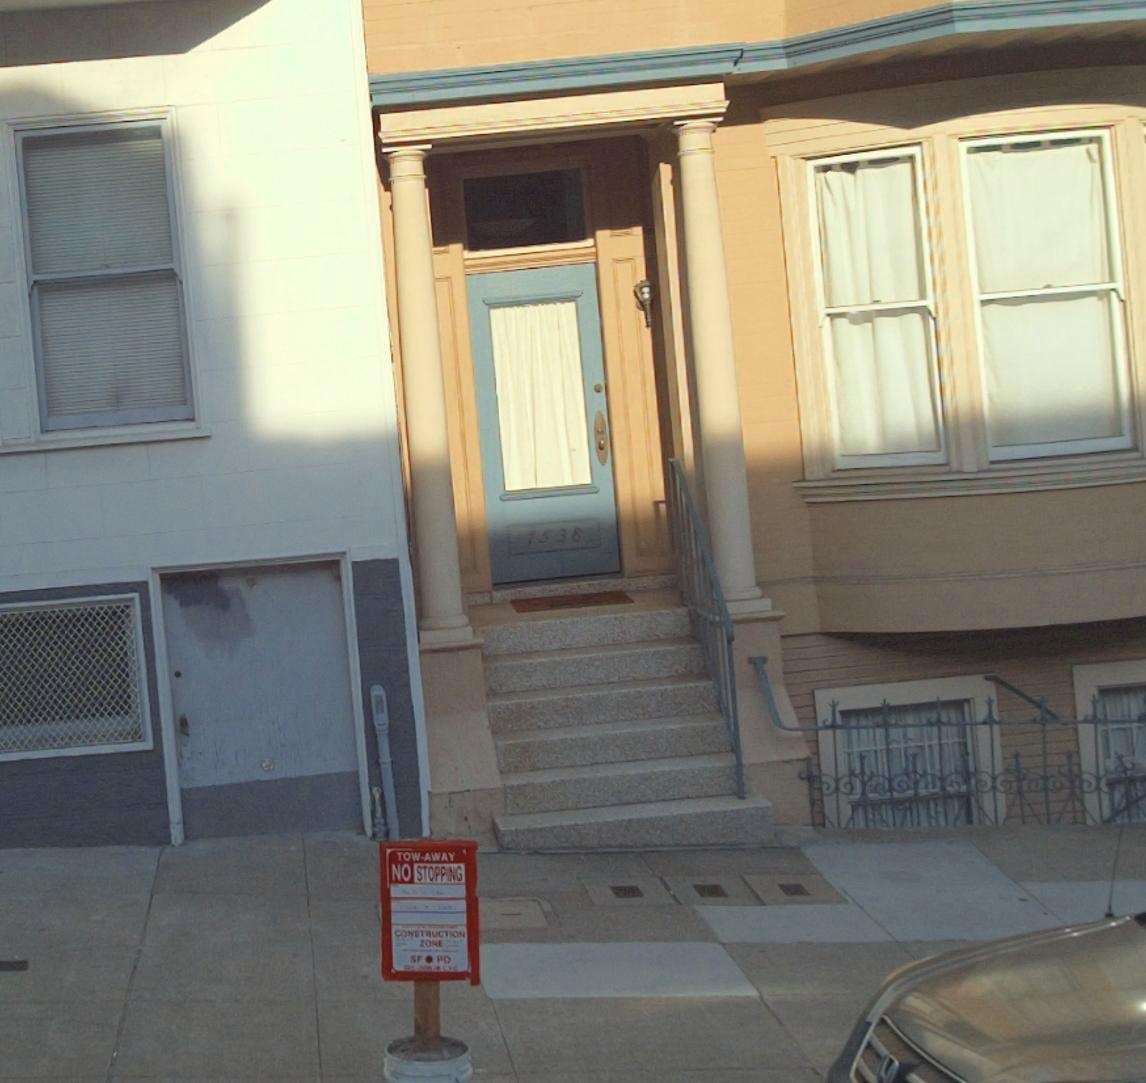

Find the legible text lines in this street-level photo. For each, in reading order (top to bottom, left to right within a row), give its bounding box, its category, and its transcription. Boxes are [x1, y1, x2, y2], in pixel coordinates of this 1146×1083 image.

[524, 524, 584, 549] StreetNumber: 1538
[396, 850, 457, 864] None: TOW-AWAY
[390, 862, 465, 883] None: NO STOPPING
[394, 927, 466, 939] None: CONSTRUCTION
[417, 937, 444, 950] None: ZONE
[409, 952, 453, 966] None: SF*PD